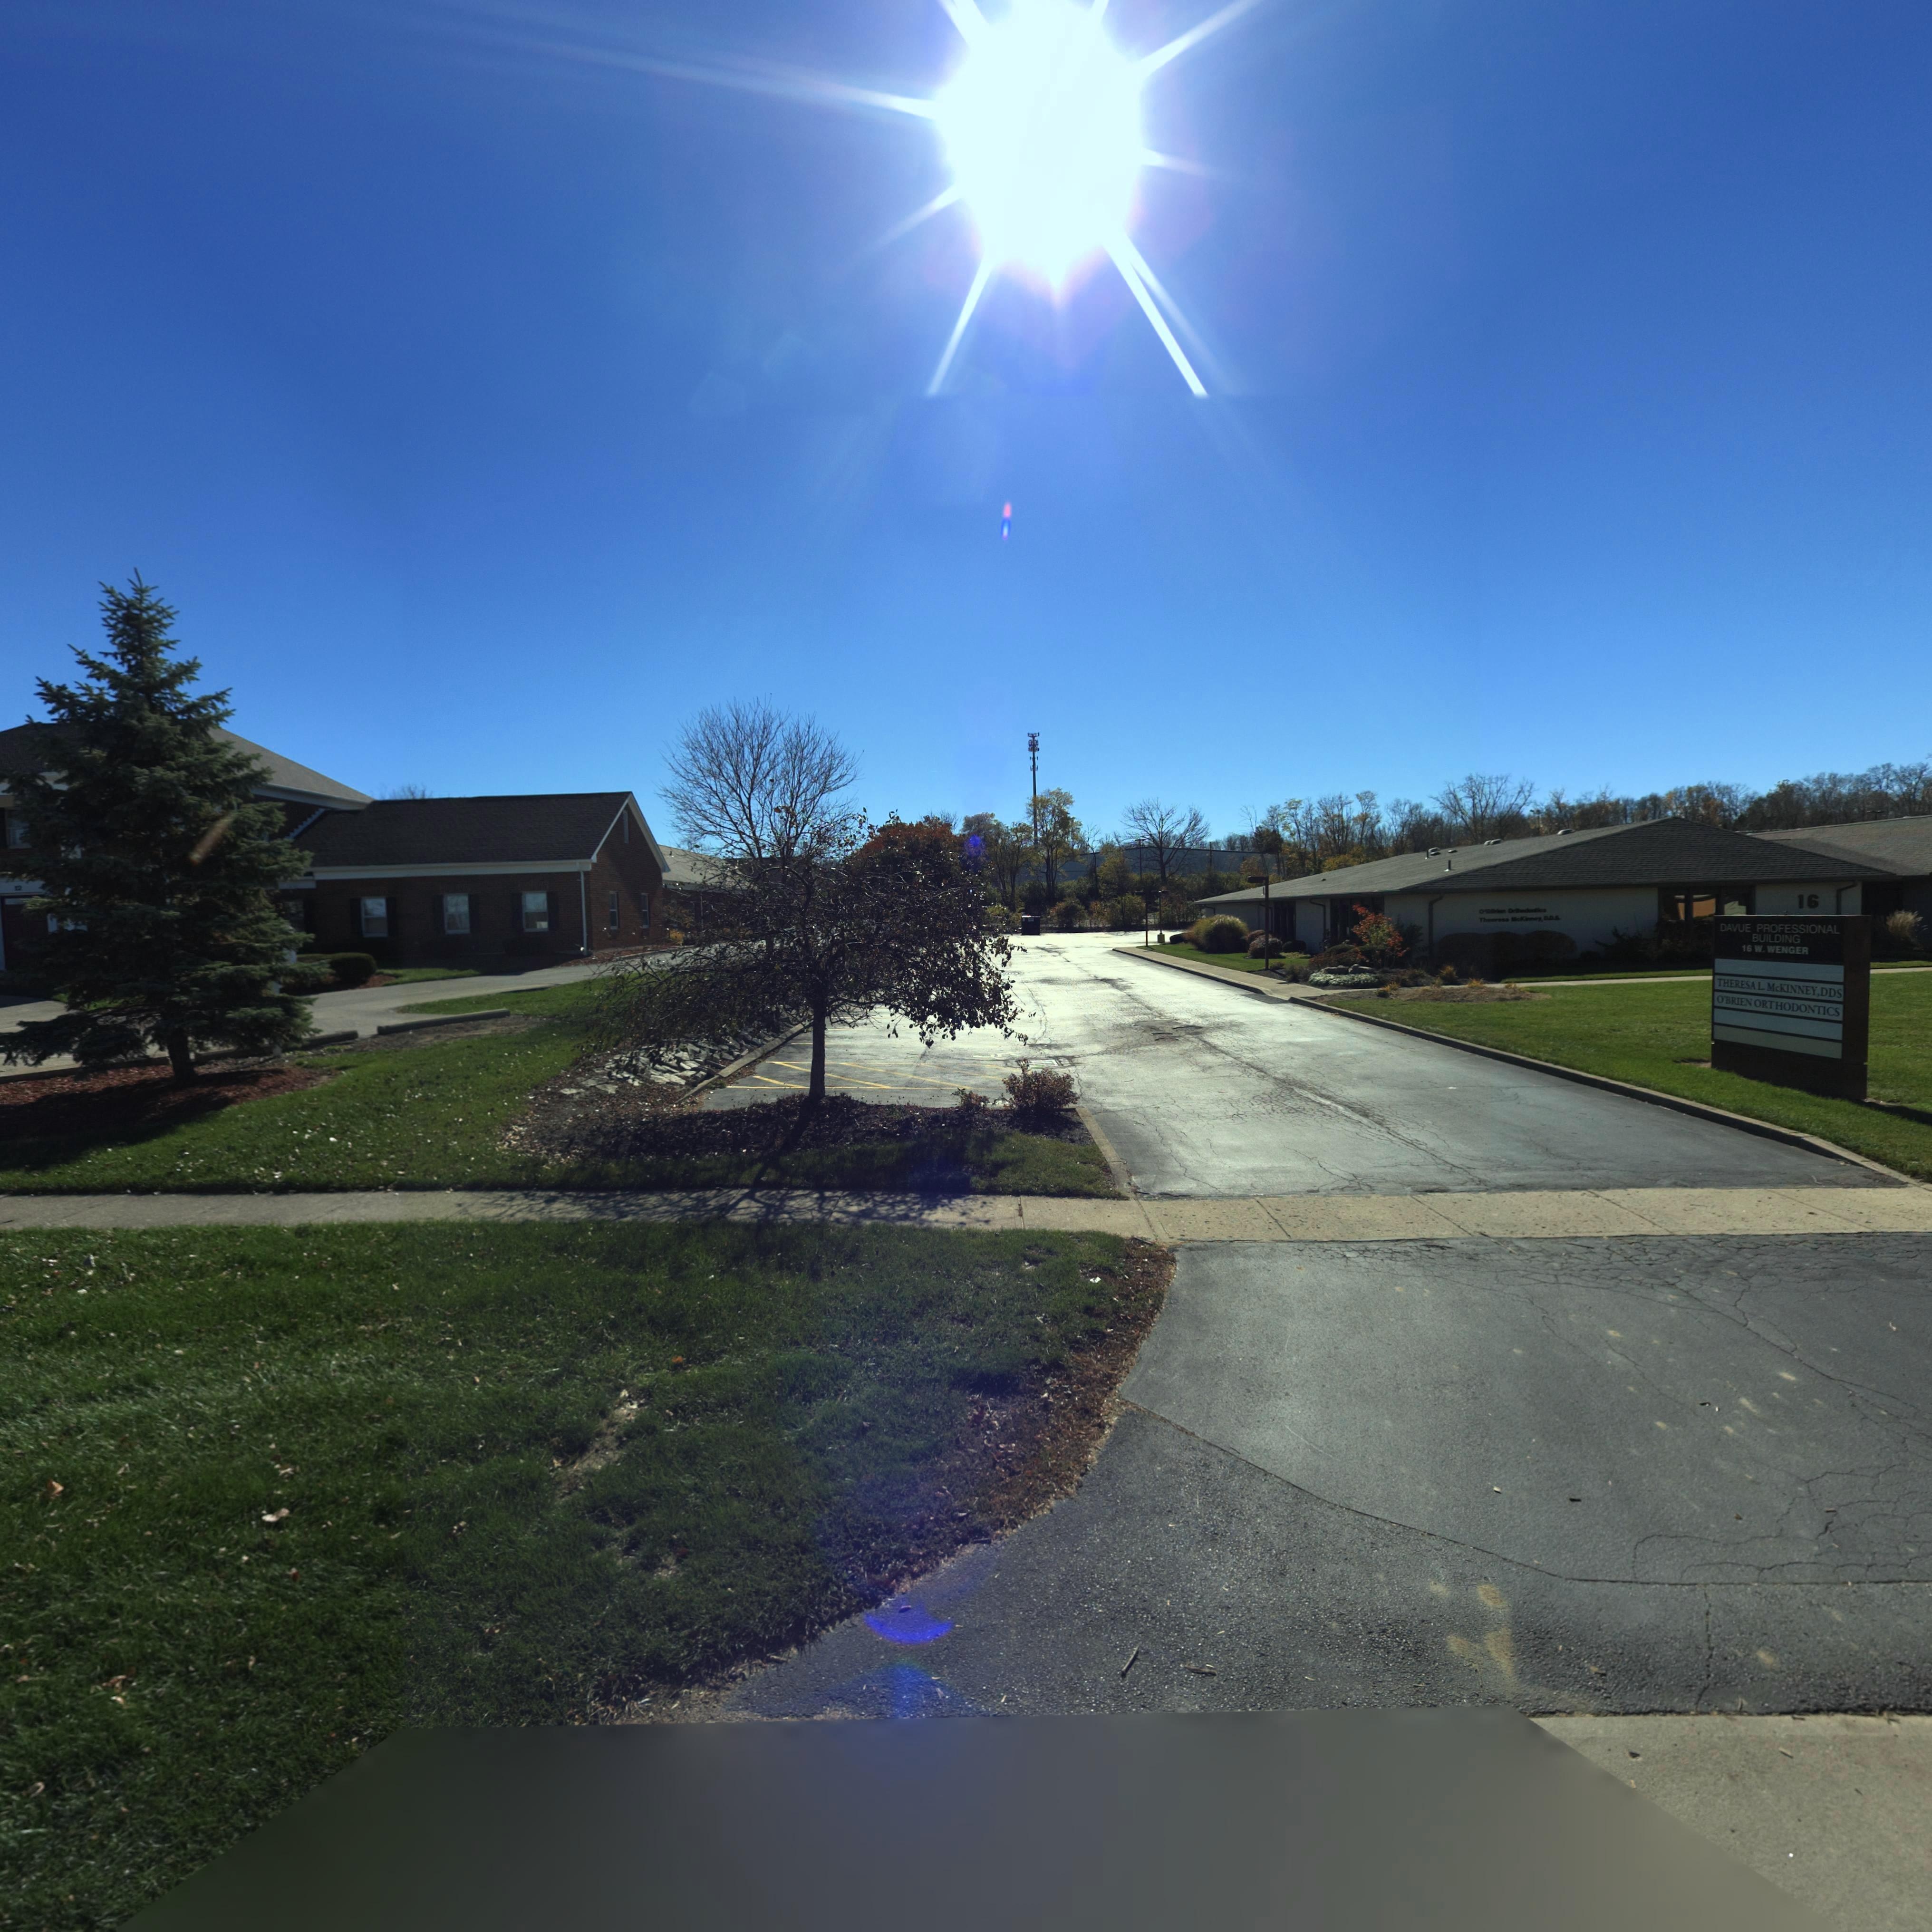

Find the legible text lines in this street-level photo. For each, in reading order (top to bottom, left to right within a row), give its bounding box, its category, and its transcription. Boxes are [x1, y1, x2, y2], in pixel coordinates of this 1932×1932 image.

[14, 885, 23, 892] StreetNumber: 12
[1796, 893, 1820, 910] StreetNumber: 16
[1741, 944, 1753, 953] StreetNumber: 16
[1752, 943, 1810, 956] StreetName: W. WENGER
[1716, 977, 1845, 999] BusinessName: THERESA L. McKINNEY,DDS
[1715, 994, 1842, 1019] BusinessName: O'BRIEN ORTHODONTICS